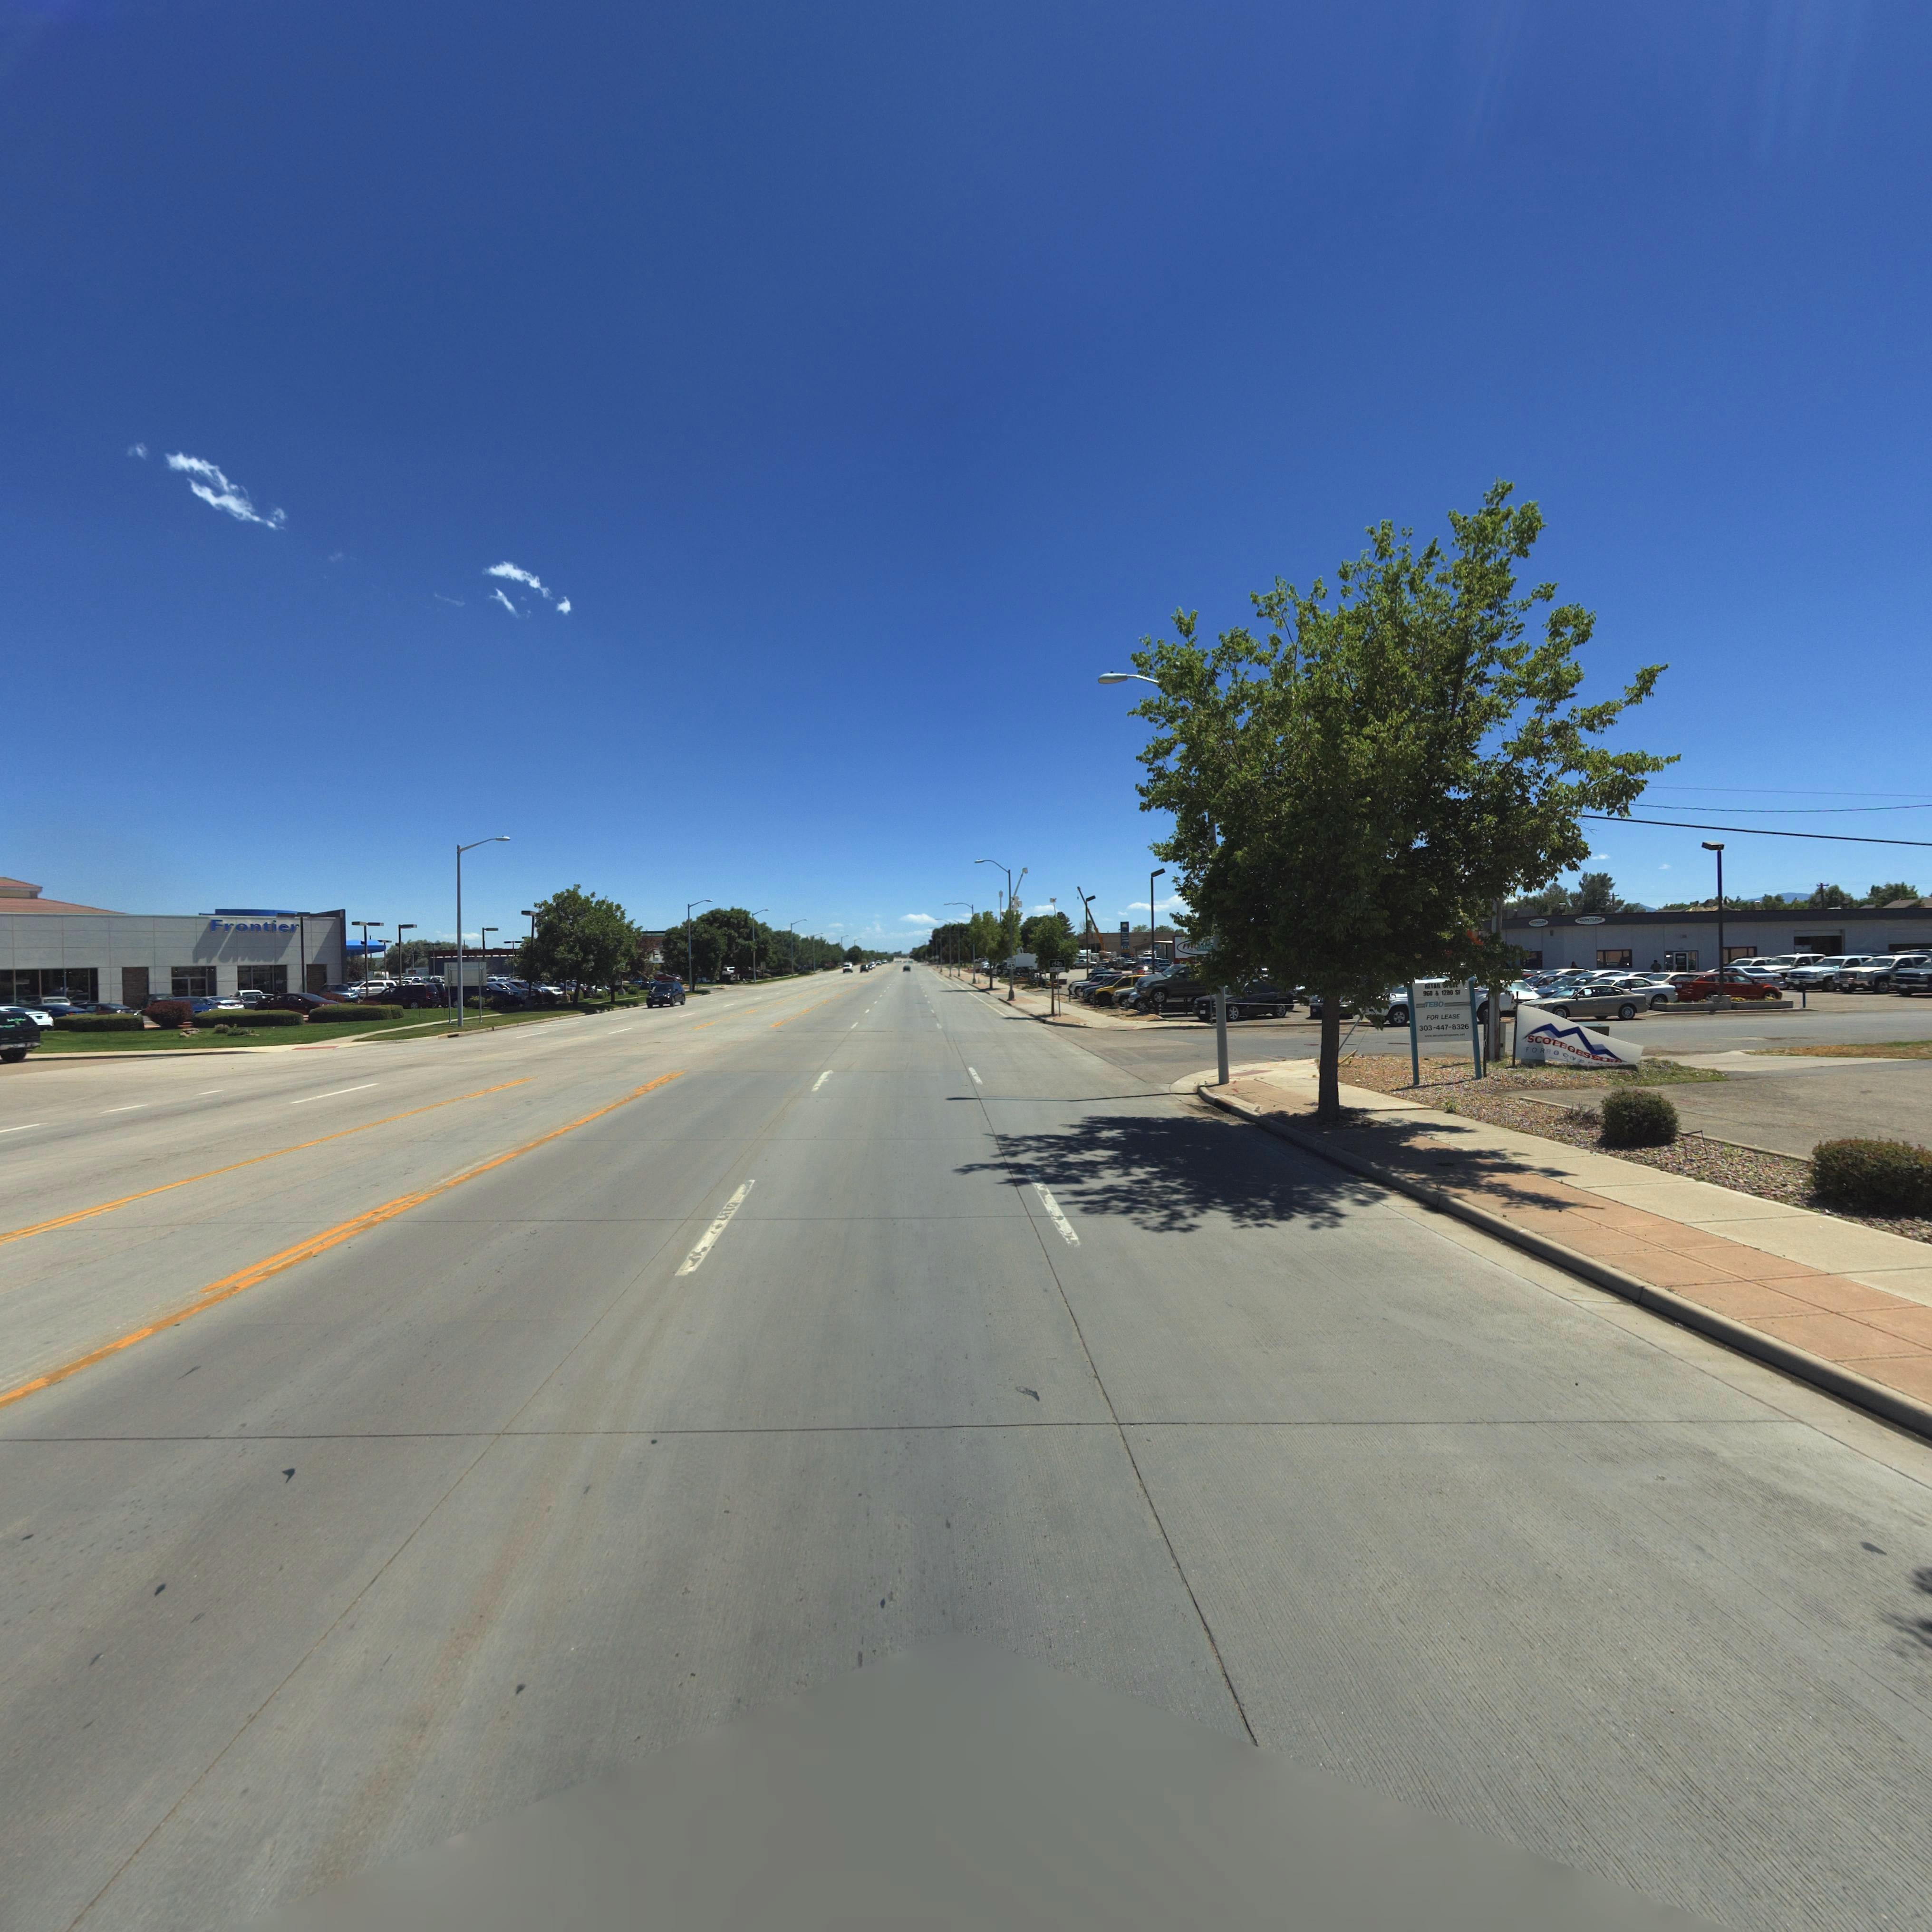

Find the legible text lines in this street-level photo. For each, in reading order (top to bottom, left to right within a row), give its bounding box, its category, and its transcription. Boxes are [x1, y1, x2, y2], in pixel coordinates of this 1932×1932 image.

[1577, 918, 1603, 922] BusinessName: ****T****
[210, 918, 299, 934] BusinessName: Frontier
[1182, 943, 1190, 949] BusinessName: F
[1197, 945, 1212, 950] StreetName: GR***